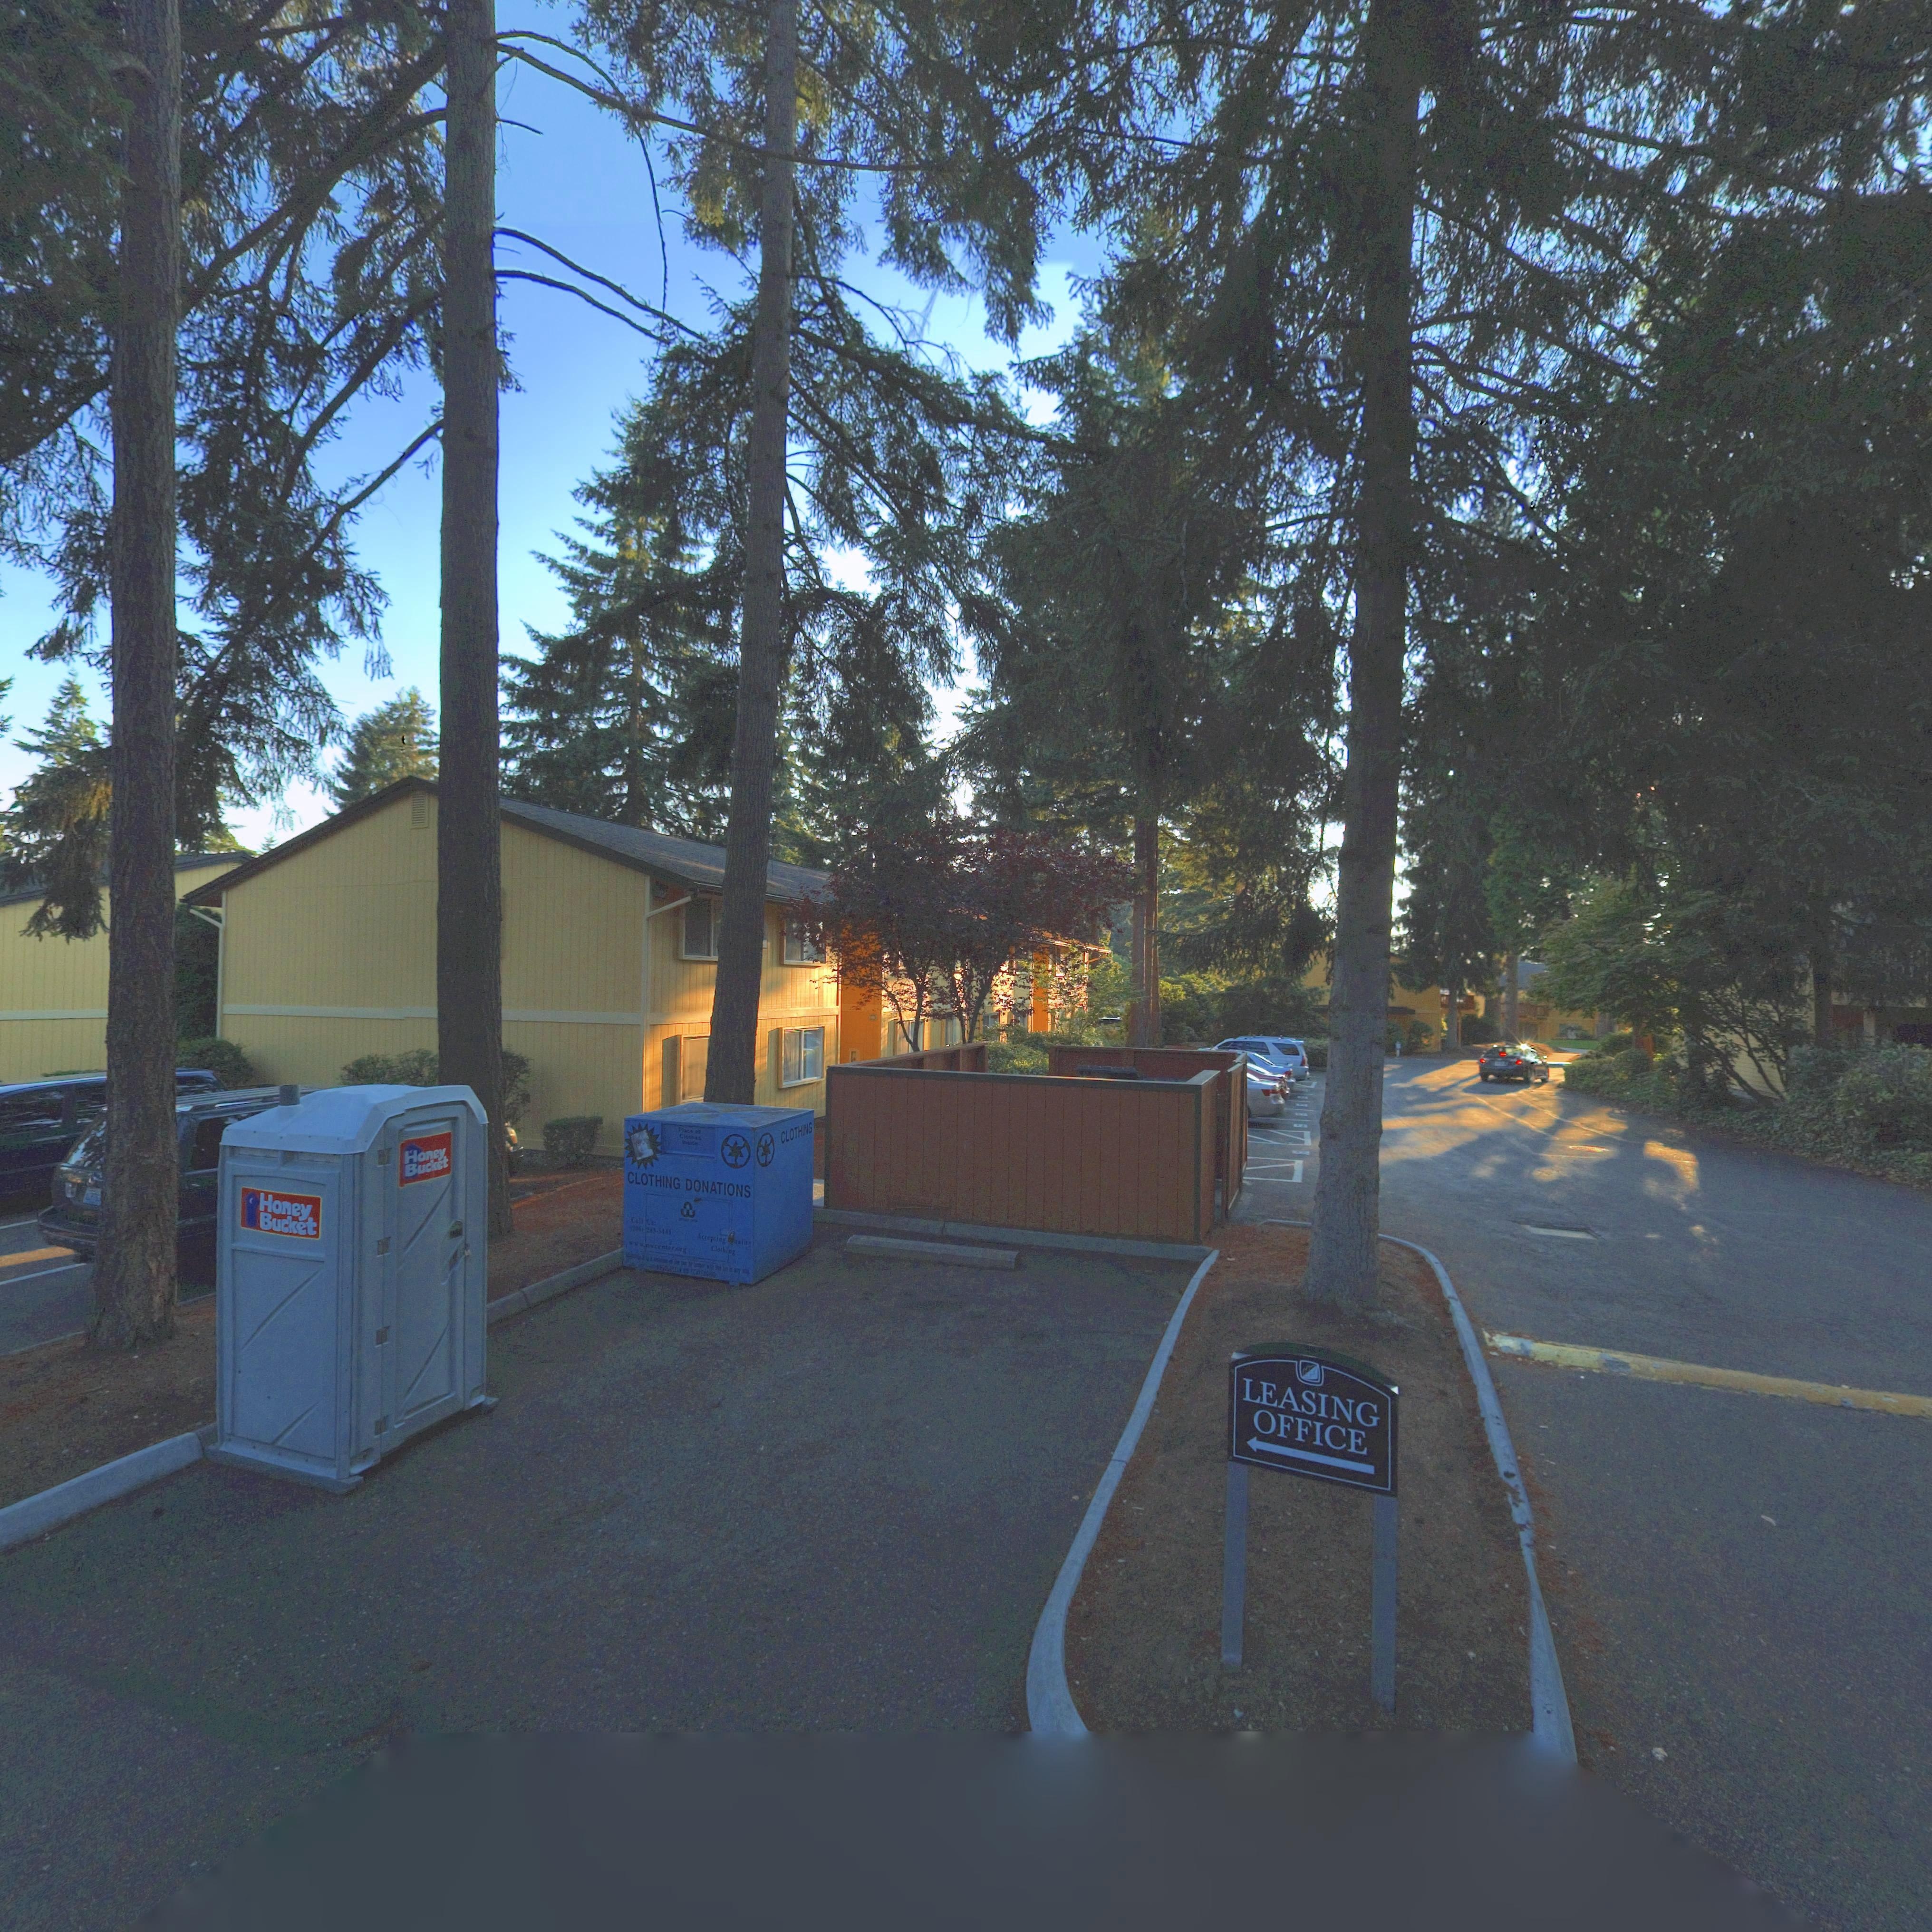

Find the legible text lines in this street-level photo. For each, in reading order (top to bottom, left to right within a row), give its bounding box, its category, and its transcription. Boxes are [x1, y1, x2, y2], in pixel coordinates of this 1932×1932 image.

[1243, 1377, 1380, 1429] BusinessName: LEASING